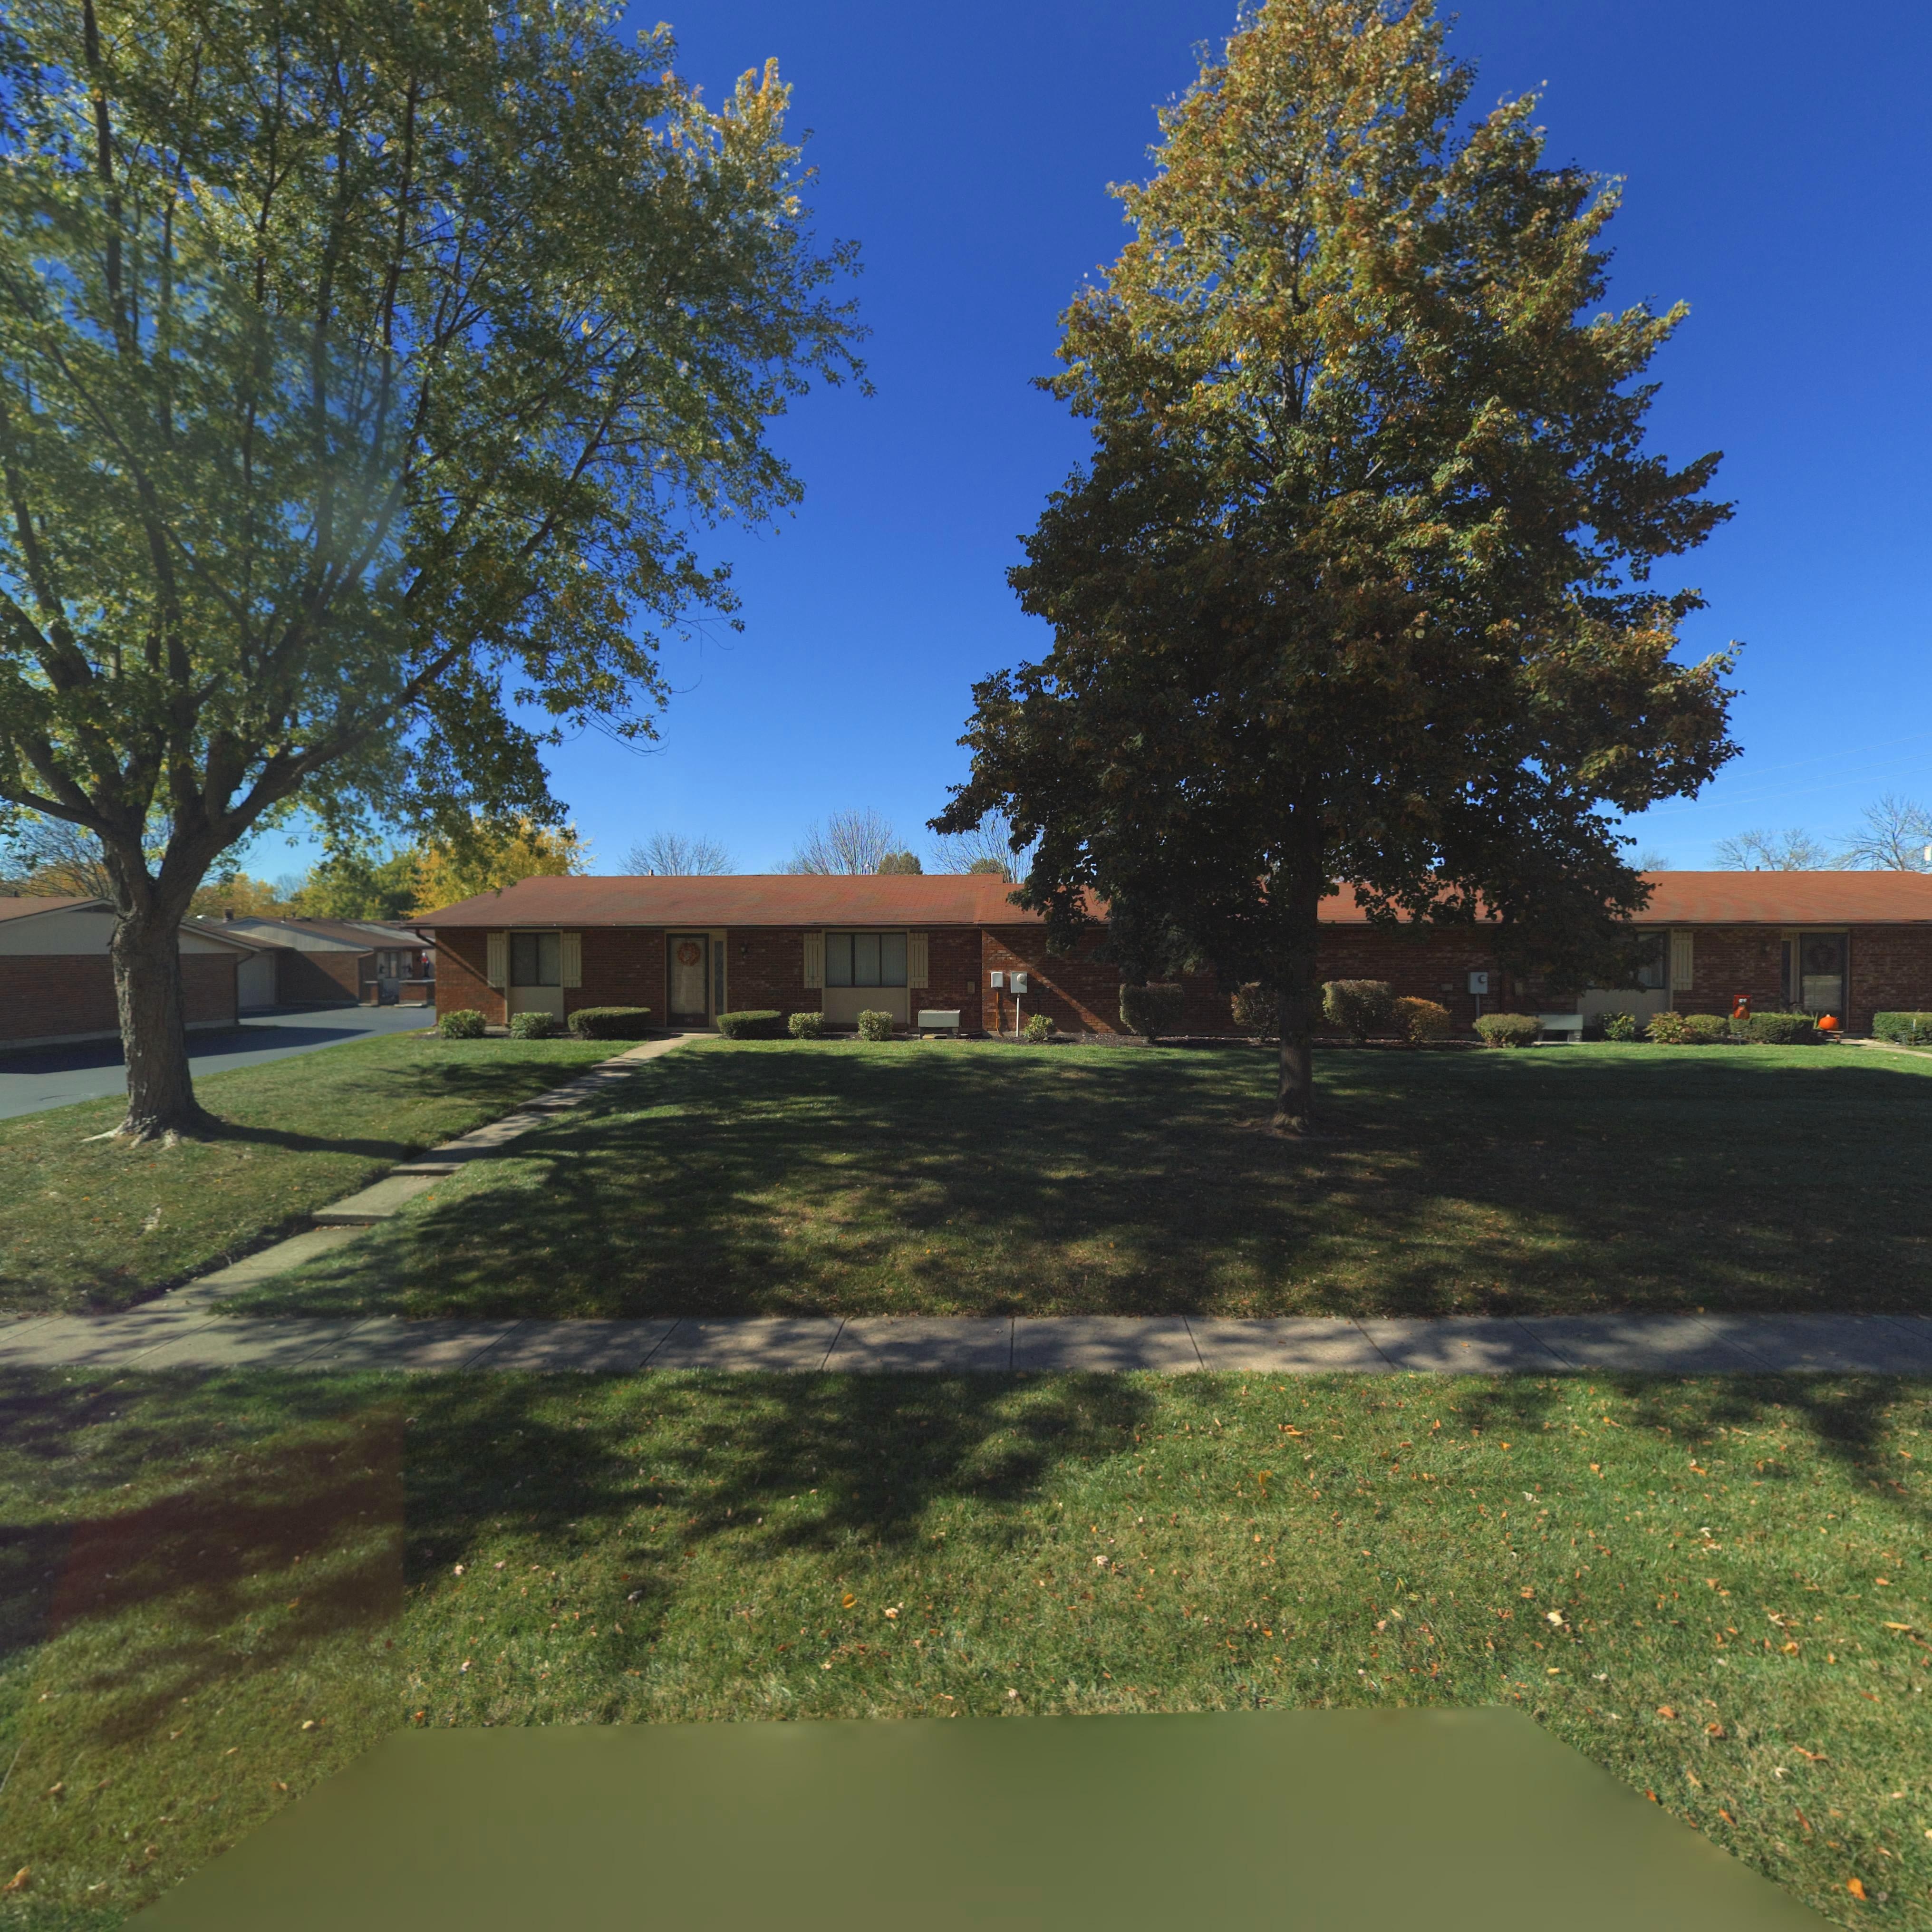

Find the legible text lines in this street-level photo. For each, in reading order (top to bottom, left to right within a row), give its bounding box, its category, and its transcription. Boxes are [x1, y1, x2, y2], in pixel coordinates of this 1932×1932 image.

[1782, 931, 1797, 939] StreetNumber: 10*